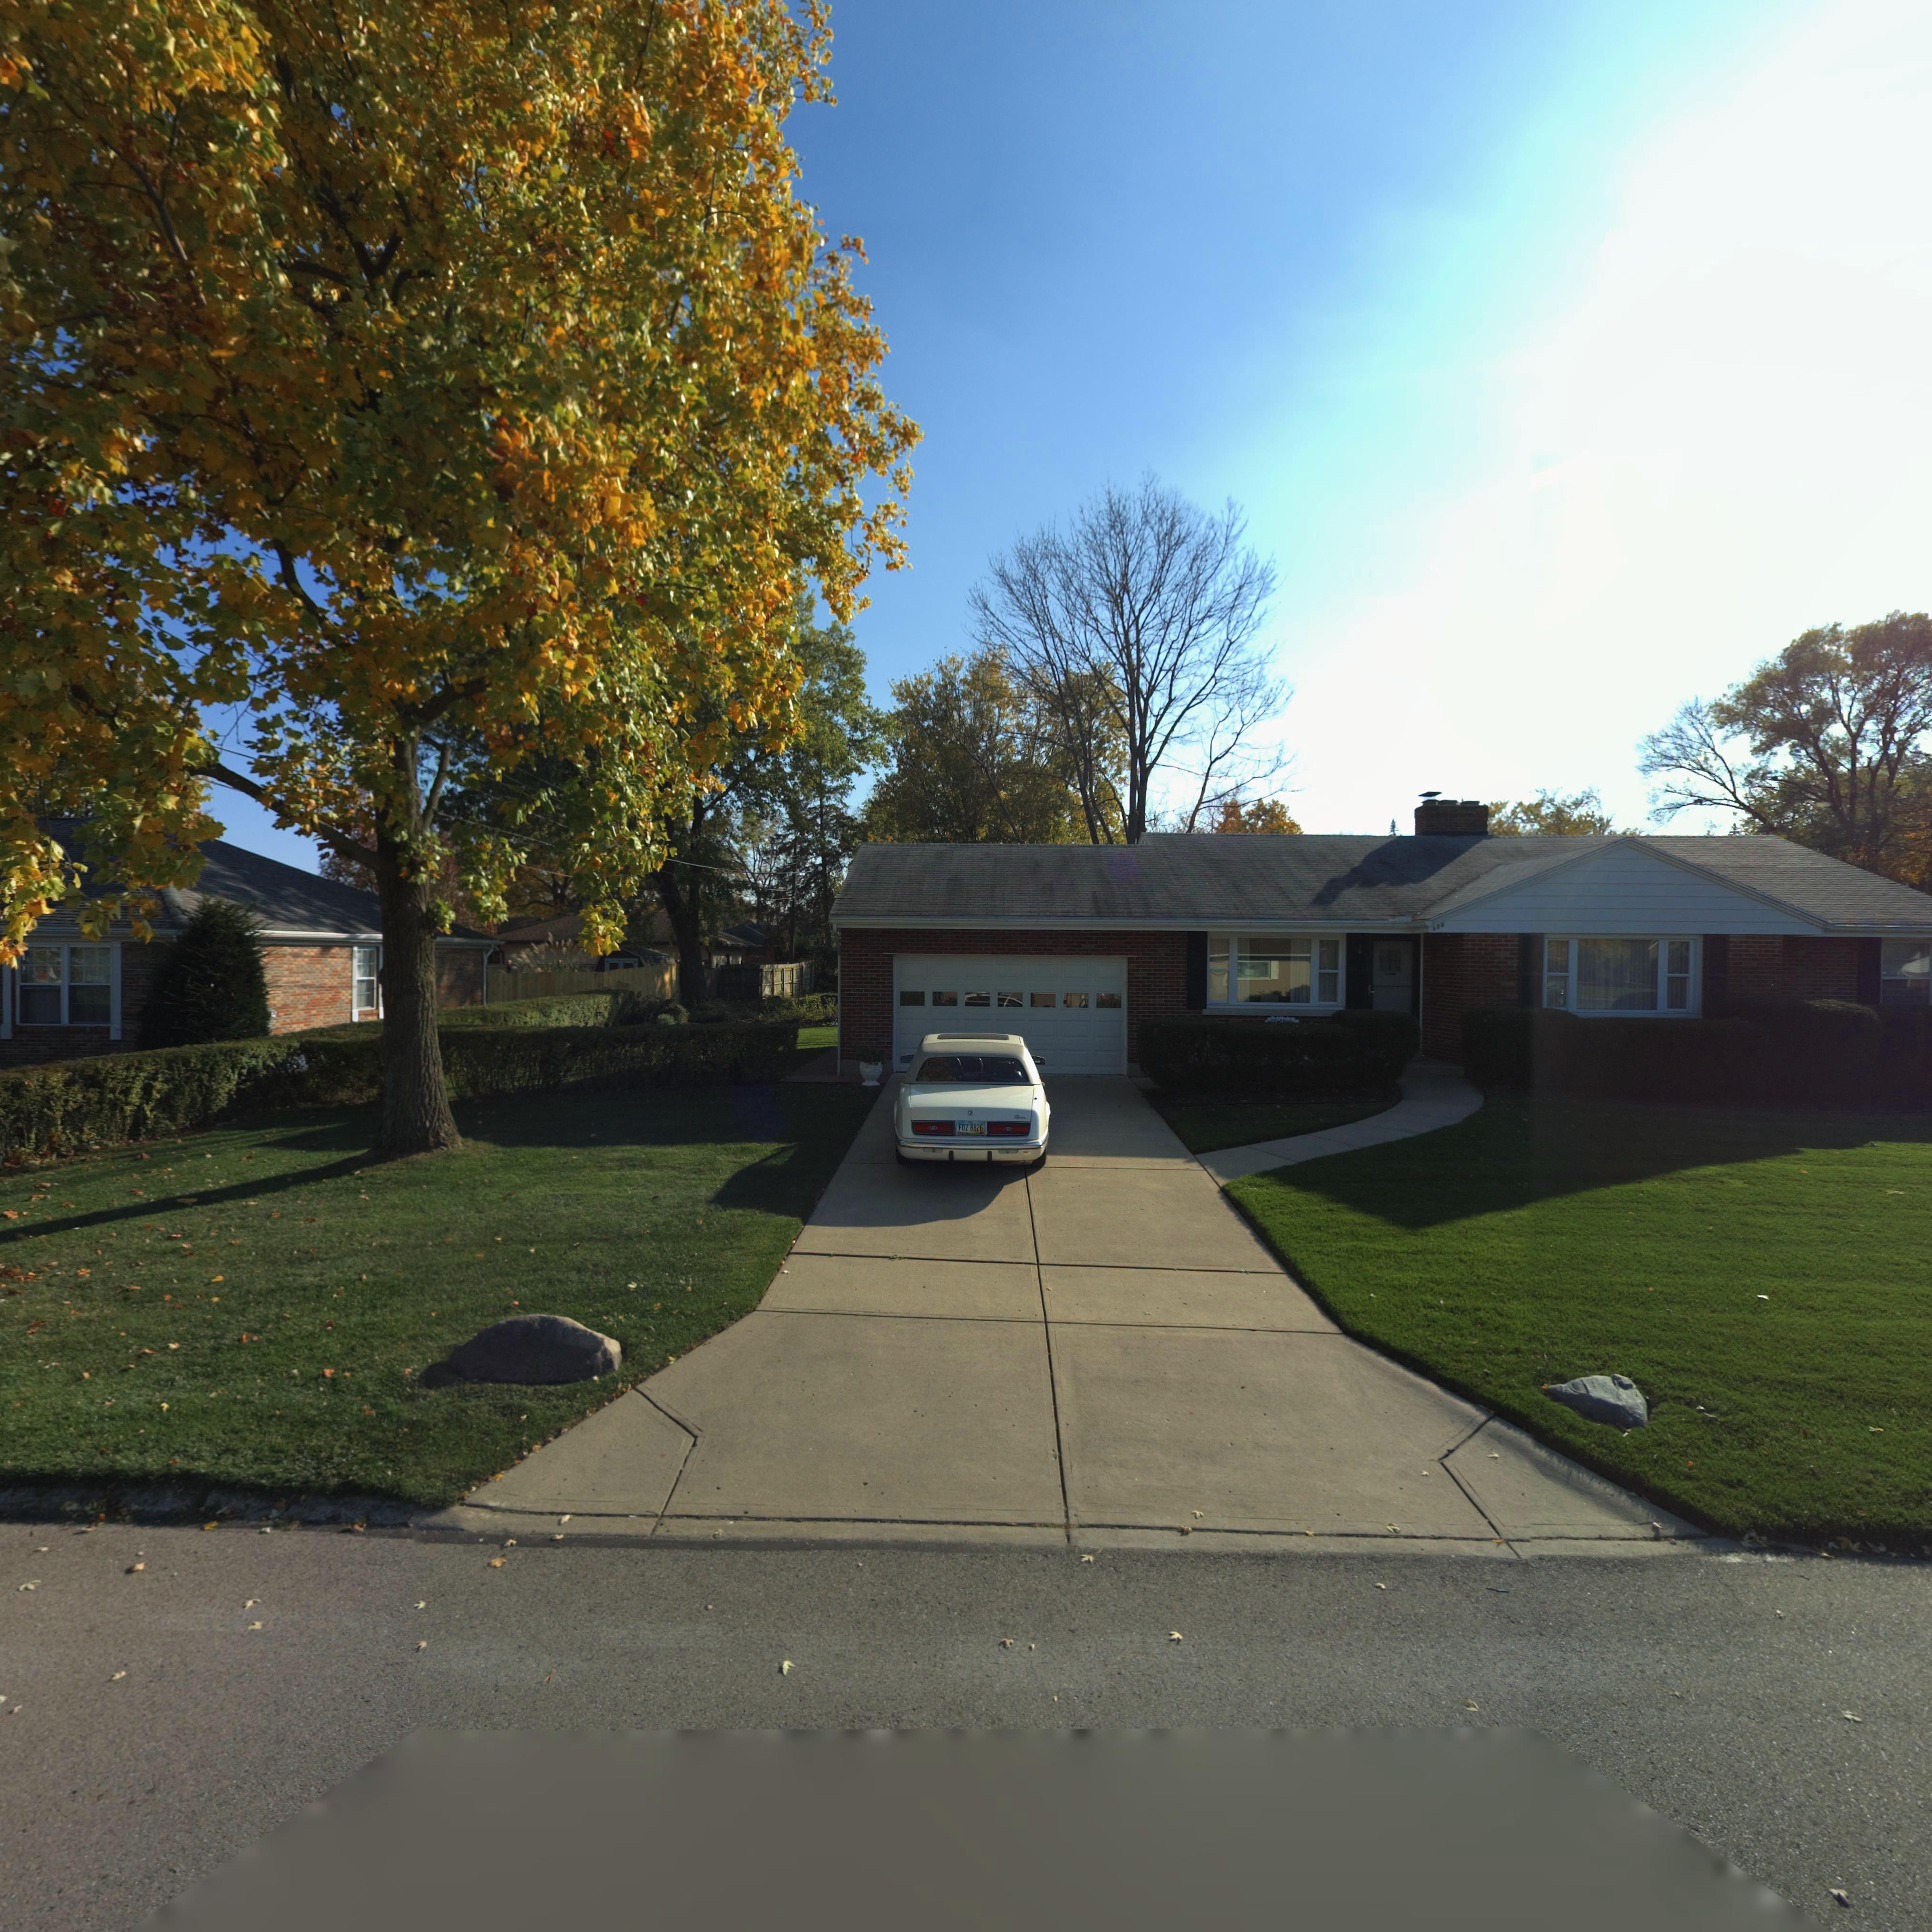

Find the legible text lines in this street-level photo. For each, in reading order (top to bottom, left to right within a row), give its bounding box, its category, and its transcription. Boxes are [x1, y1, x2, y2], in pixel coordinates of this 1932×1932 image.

[1432, 921, 1445, 932] StreetNumber: 600